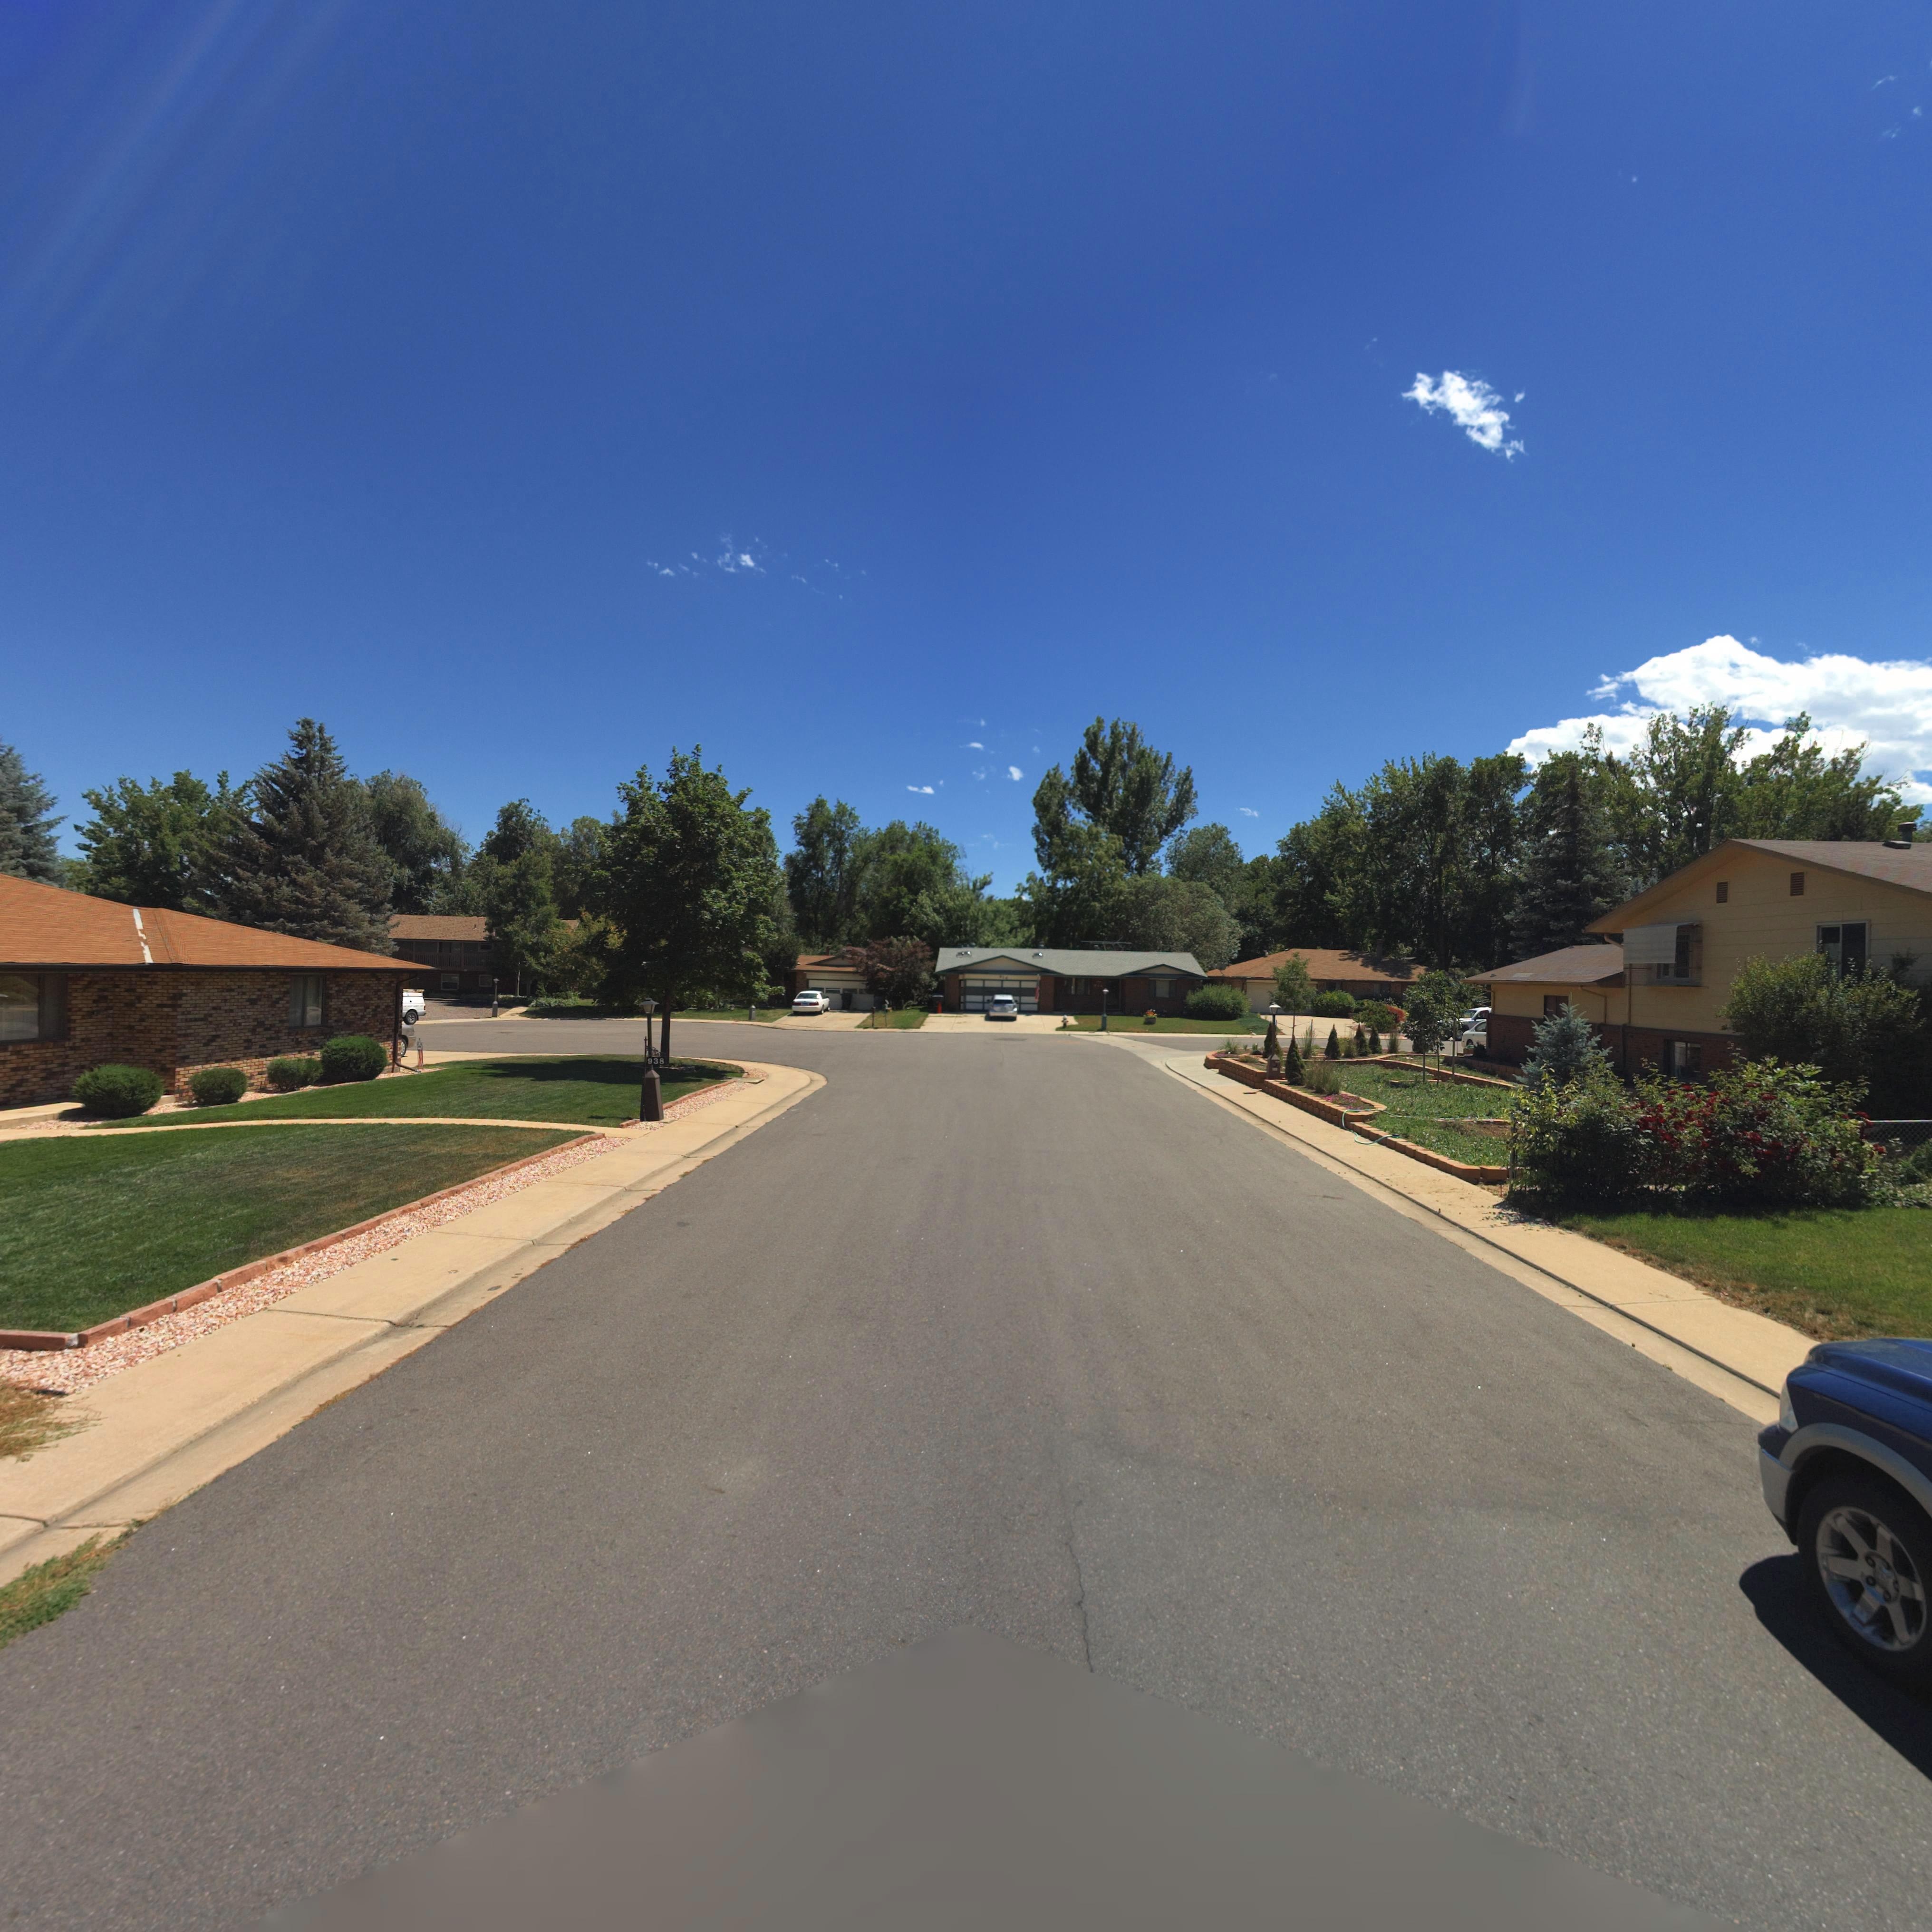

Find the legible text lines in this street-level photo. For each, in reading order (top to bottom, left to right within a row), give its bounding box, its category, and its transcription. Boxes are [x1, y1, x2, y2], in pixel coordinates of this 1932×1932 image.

[647, 1057, 664, 1064] StreetNumber: 938